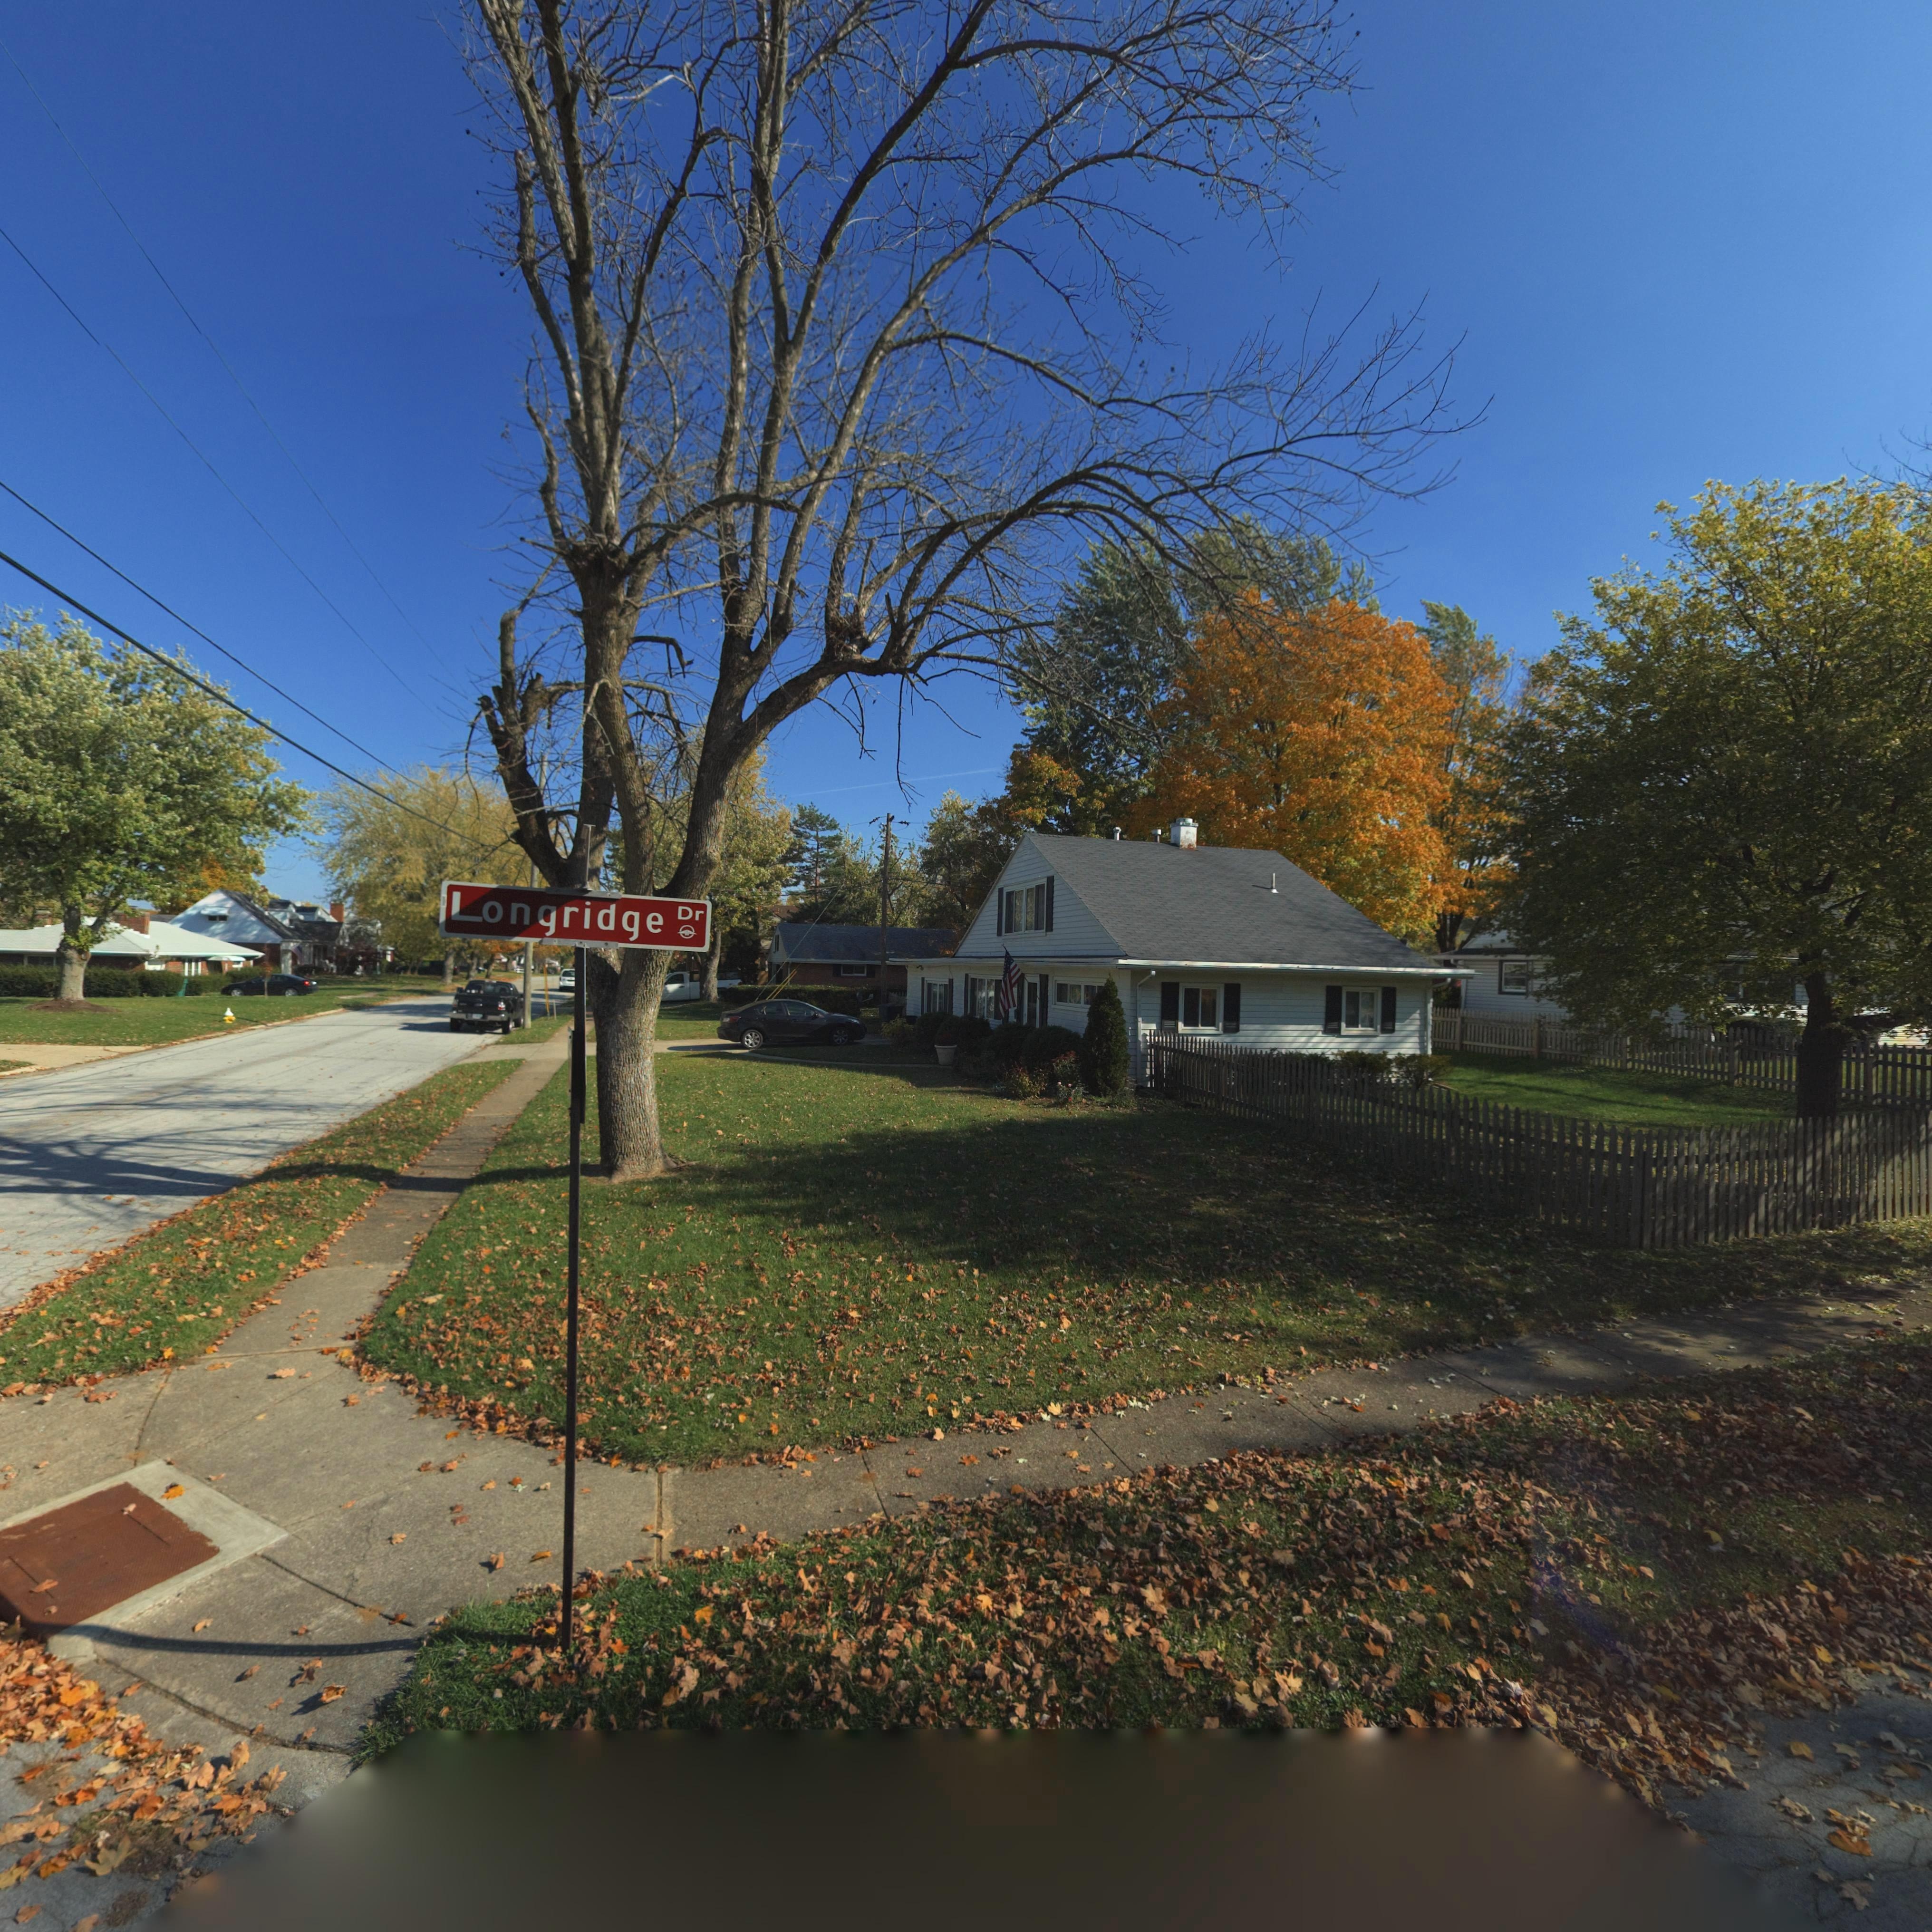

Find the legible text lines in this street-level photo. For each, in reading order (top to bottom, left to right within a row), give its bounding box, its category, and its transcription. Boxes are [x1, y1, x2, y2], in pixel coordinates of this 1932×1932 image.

[450, 889, 705, 943] StreetName: Longgridge Dr